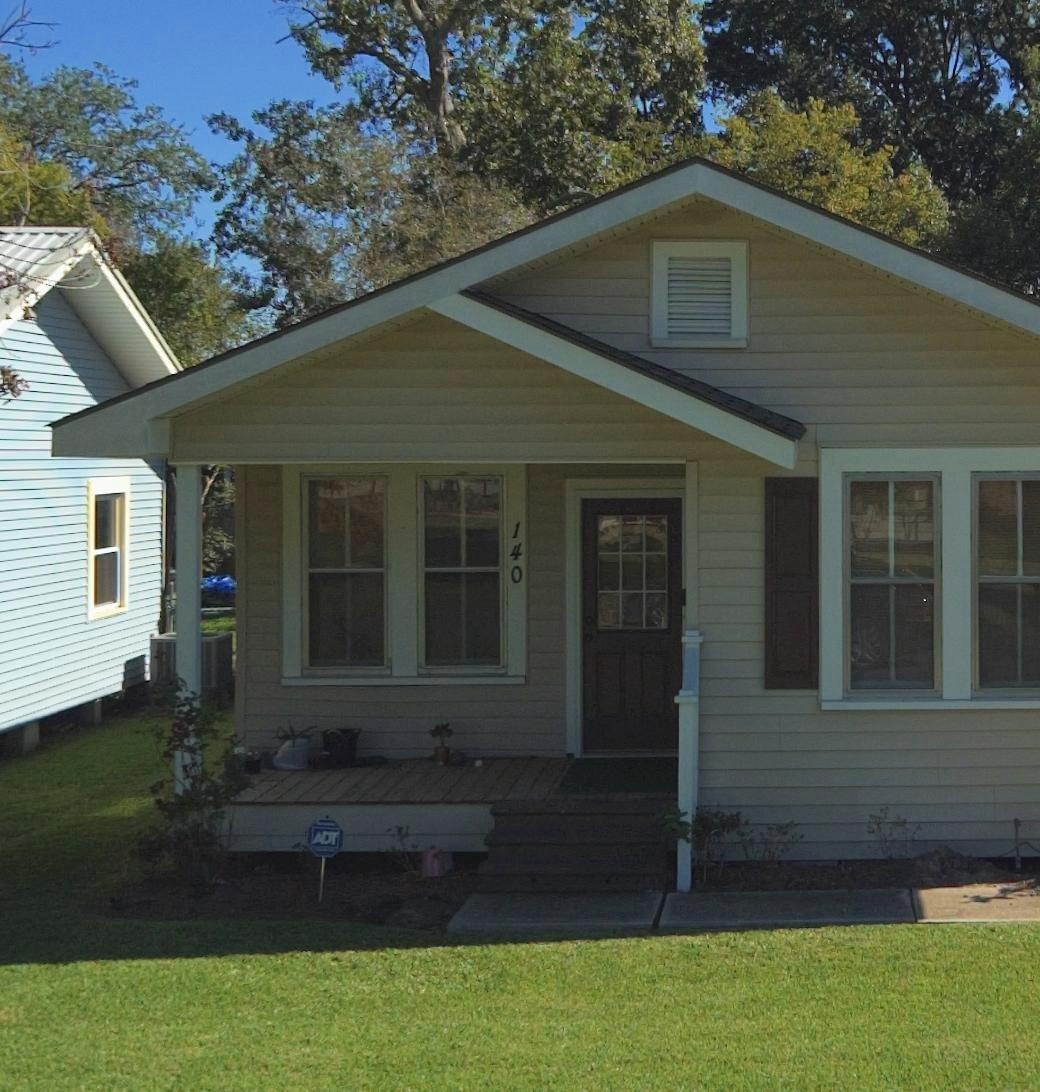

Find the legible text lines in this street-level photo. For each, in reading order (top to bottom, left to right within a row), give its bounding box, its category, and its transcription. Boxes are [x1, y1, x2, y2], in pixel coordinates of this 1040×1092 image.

[509, 521, 524, 585] StreetNumber: 140
[310, 830, 340, 846] None: ADT